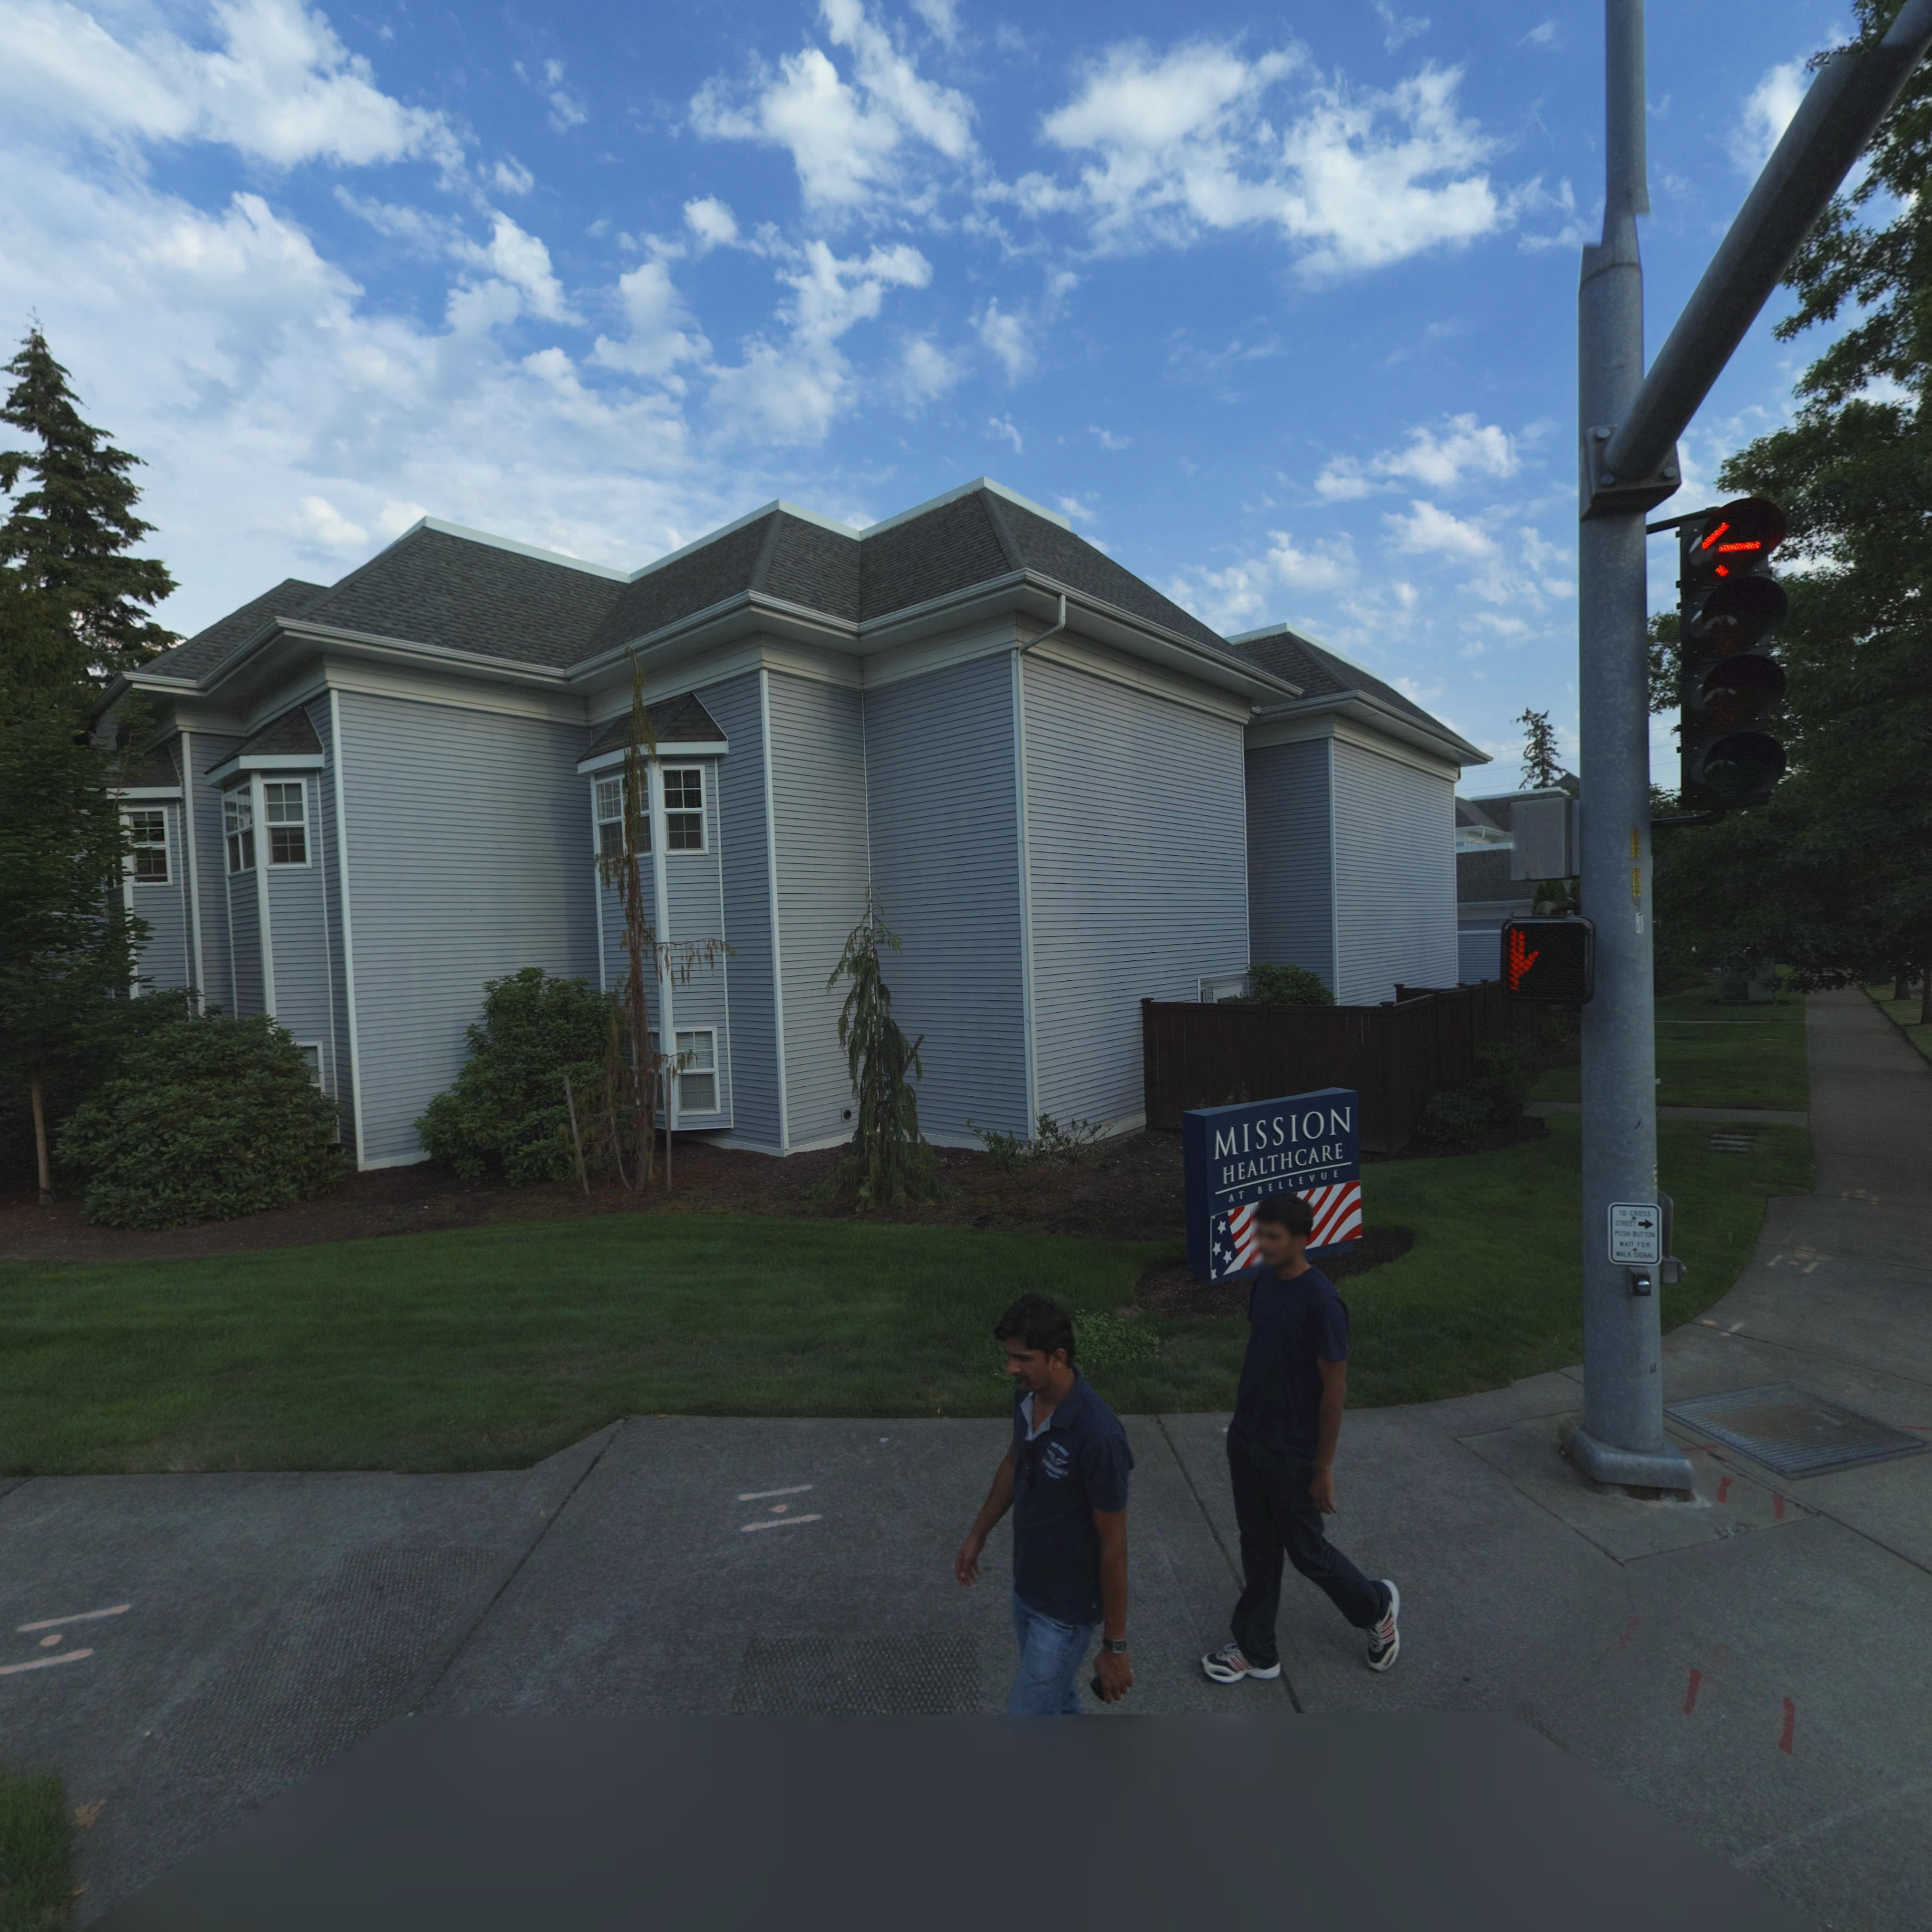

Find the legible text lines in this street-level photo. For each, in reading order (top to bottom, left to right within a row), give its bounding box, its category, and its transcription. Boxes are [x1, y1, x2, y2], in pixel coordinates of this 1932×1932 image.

[1215, 1107, 1351, 1160] BusinessName: MISSION
[1220, 1142, 1344, 1184] BusinessName: HEALTHCARE
[1228, 1170, 1341, 1201] BusinessName: AT BELLEVUE